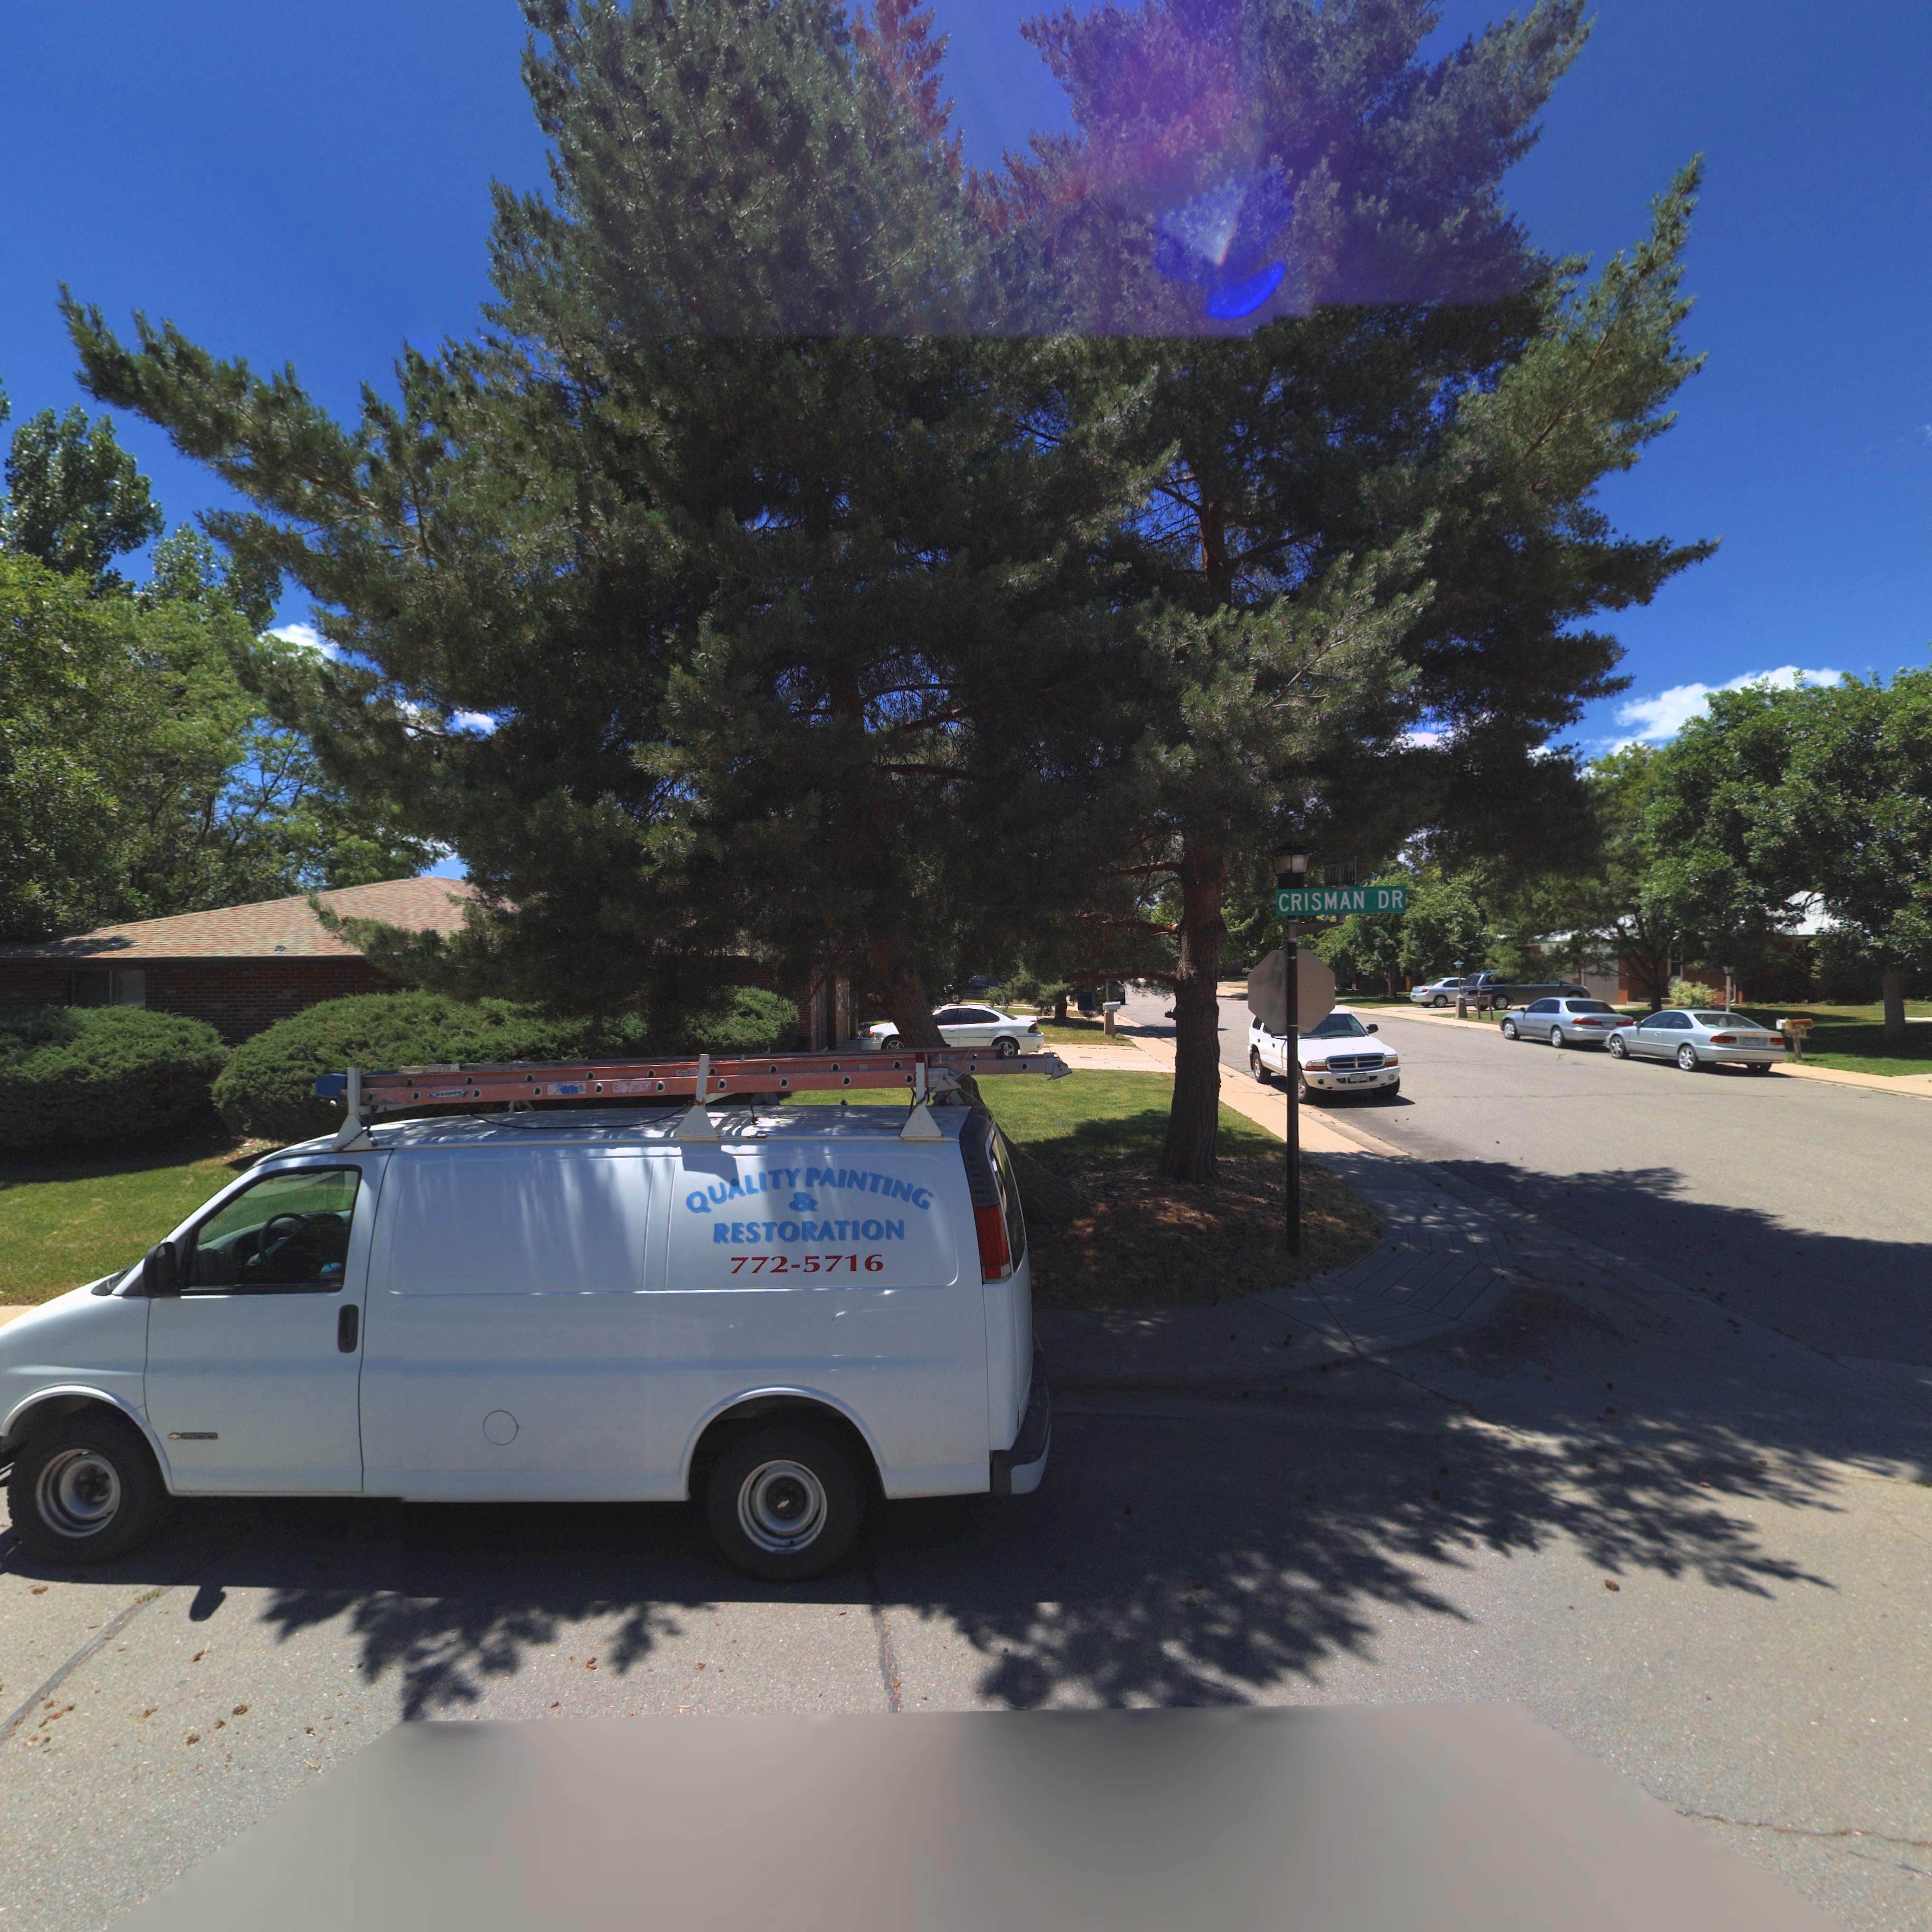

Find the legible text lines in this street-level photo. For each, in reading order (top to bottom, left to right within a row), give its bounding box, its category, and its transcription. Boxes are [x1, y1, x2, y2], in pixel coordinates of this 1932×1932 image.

[1277, 889, 1403, 912] StreetName: CHRISMAN DR